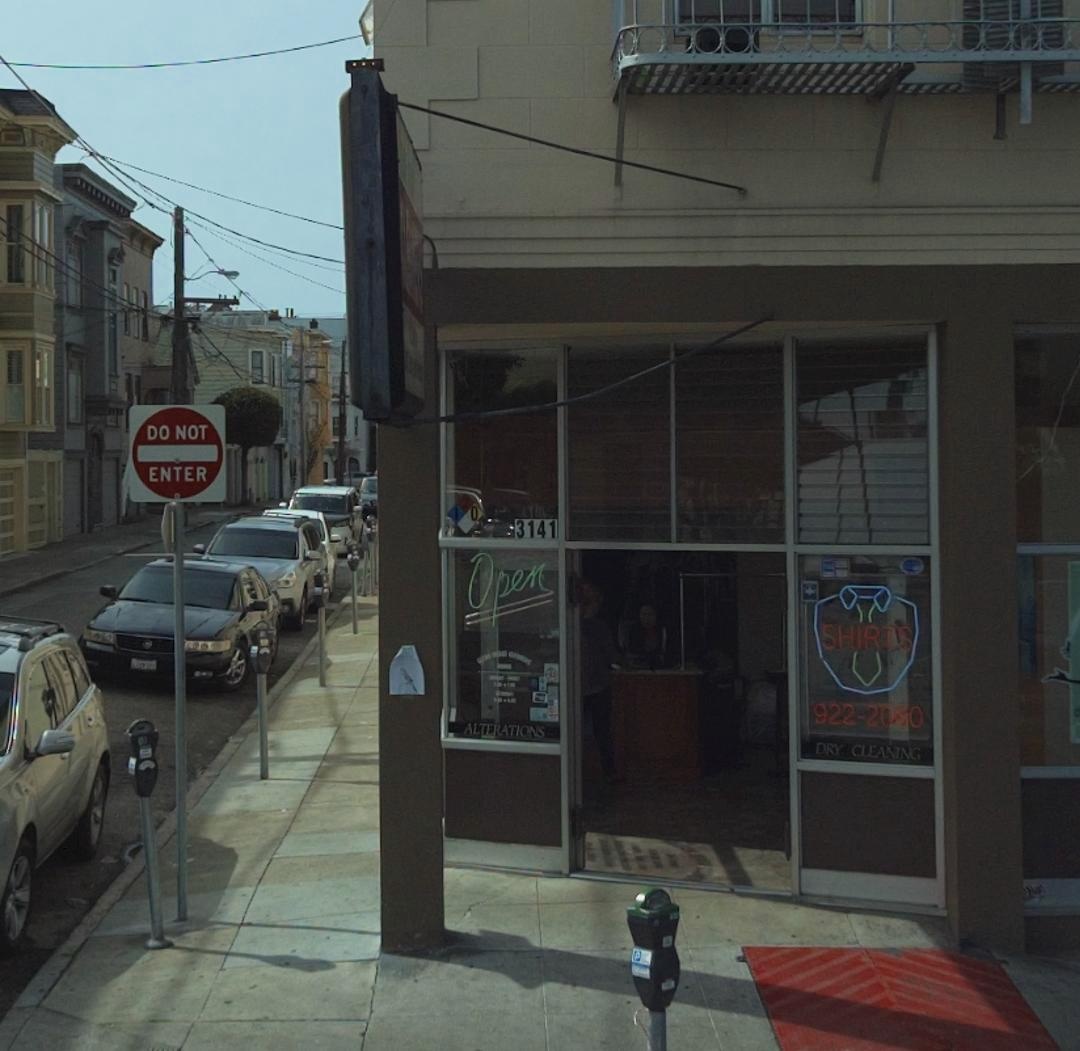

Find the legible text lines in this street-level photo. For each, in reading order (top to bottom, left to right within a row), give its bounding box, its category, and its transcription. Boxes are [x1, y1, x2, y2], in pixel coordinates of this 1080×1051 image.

[145, 422, 211, 443] None: DO NOT
[147, 463, 209, 484] None: ENTER
[452, 504, 461, 523] None: 1
[469, 503, 480, 524] None: 0
[514, 518, 557, 541] StreetNumber: 3141
[466, 549, 549, 614] None: Open
[819, 623, 915, 655] None: SHIRTS
[811, 701, 927, 731] None: 922-2080
[461, 720, 548, 740] None: ALTERATIONS
[813, 739, 924, 763] None: DRY CLEANING